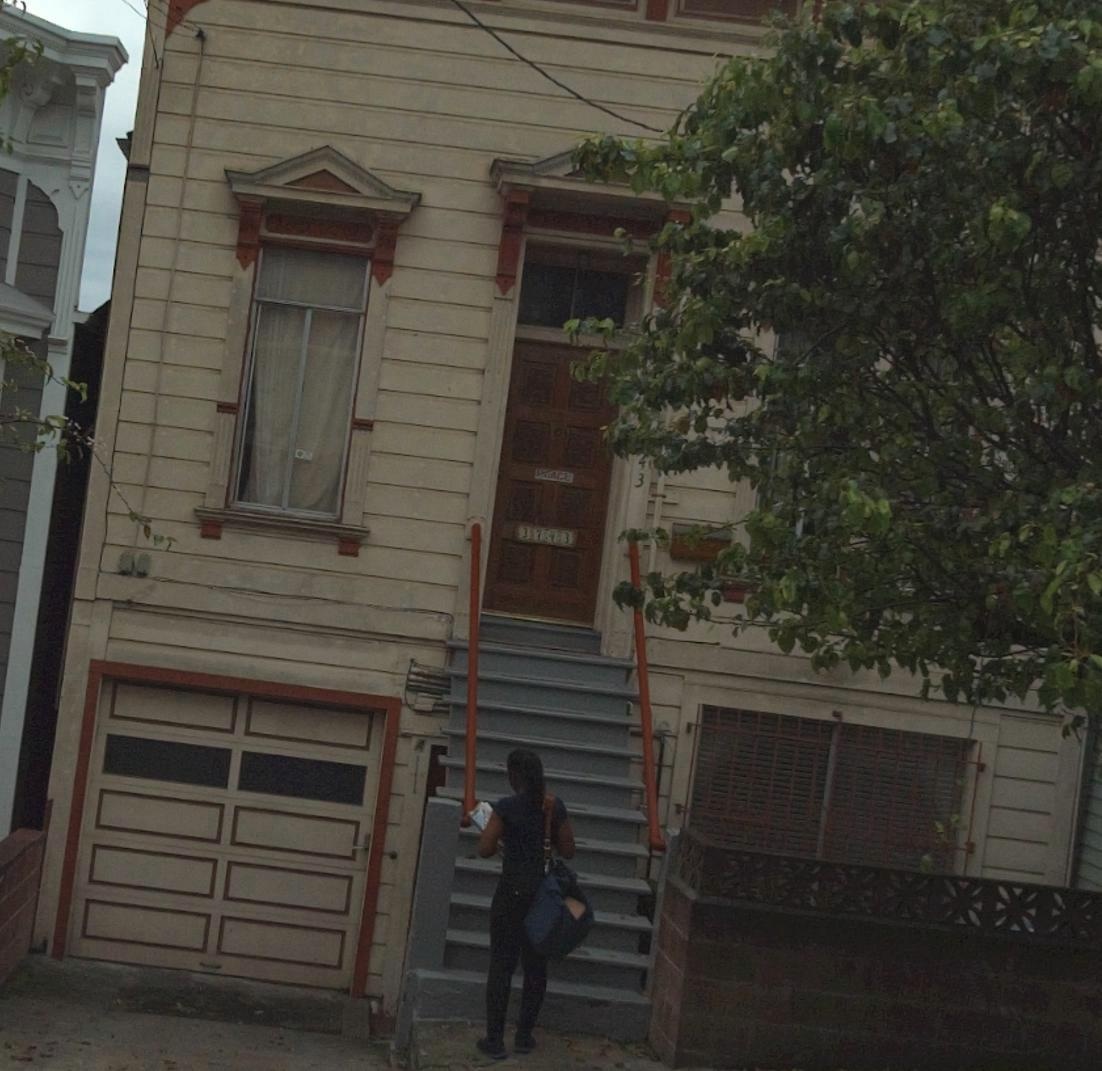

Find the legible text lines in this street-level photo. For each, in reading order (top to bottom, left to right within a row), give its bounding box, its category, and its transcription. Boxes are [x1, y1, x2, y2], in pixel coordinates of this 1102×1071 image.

[634, 453, 648, 489] StreetNumber: 43
[520, 525, 571, 546] StreetNumber: 3743